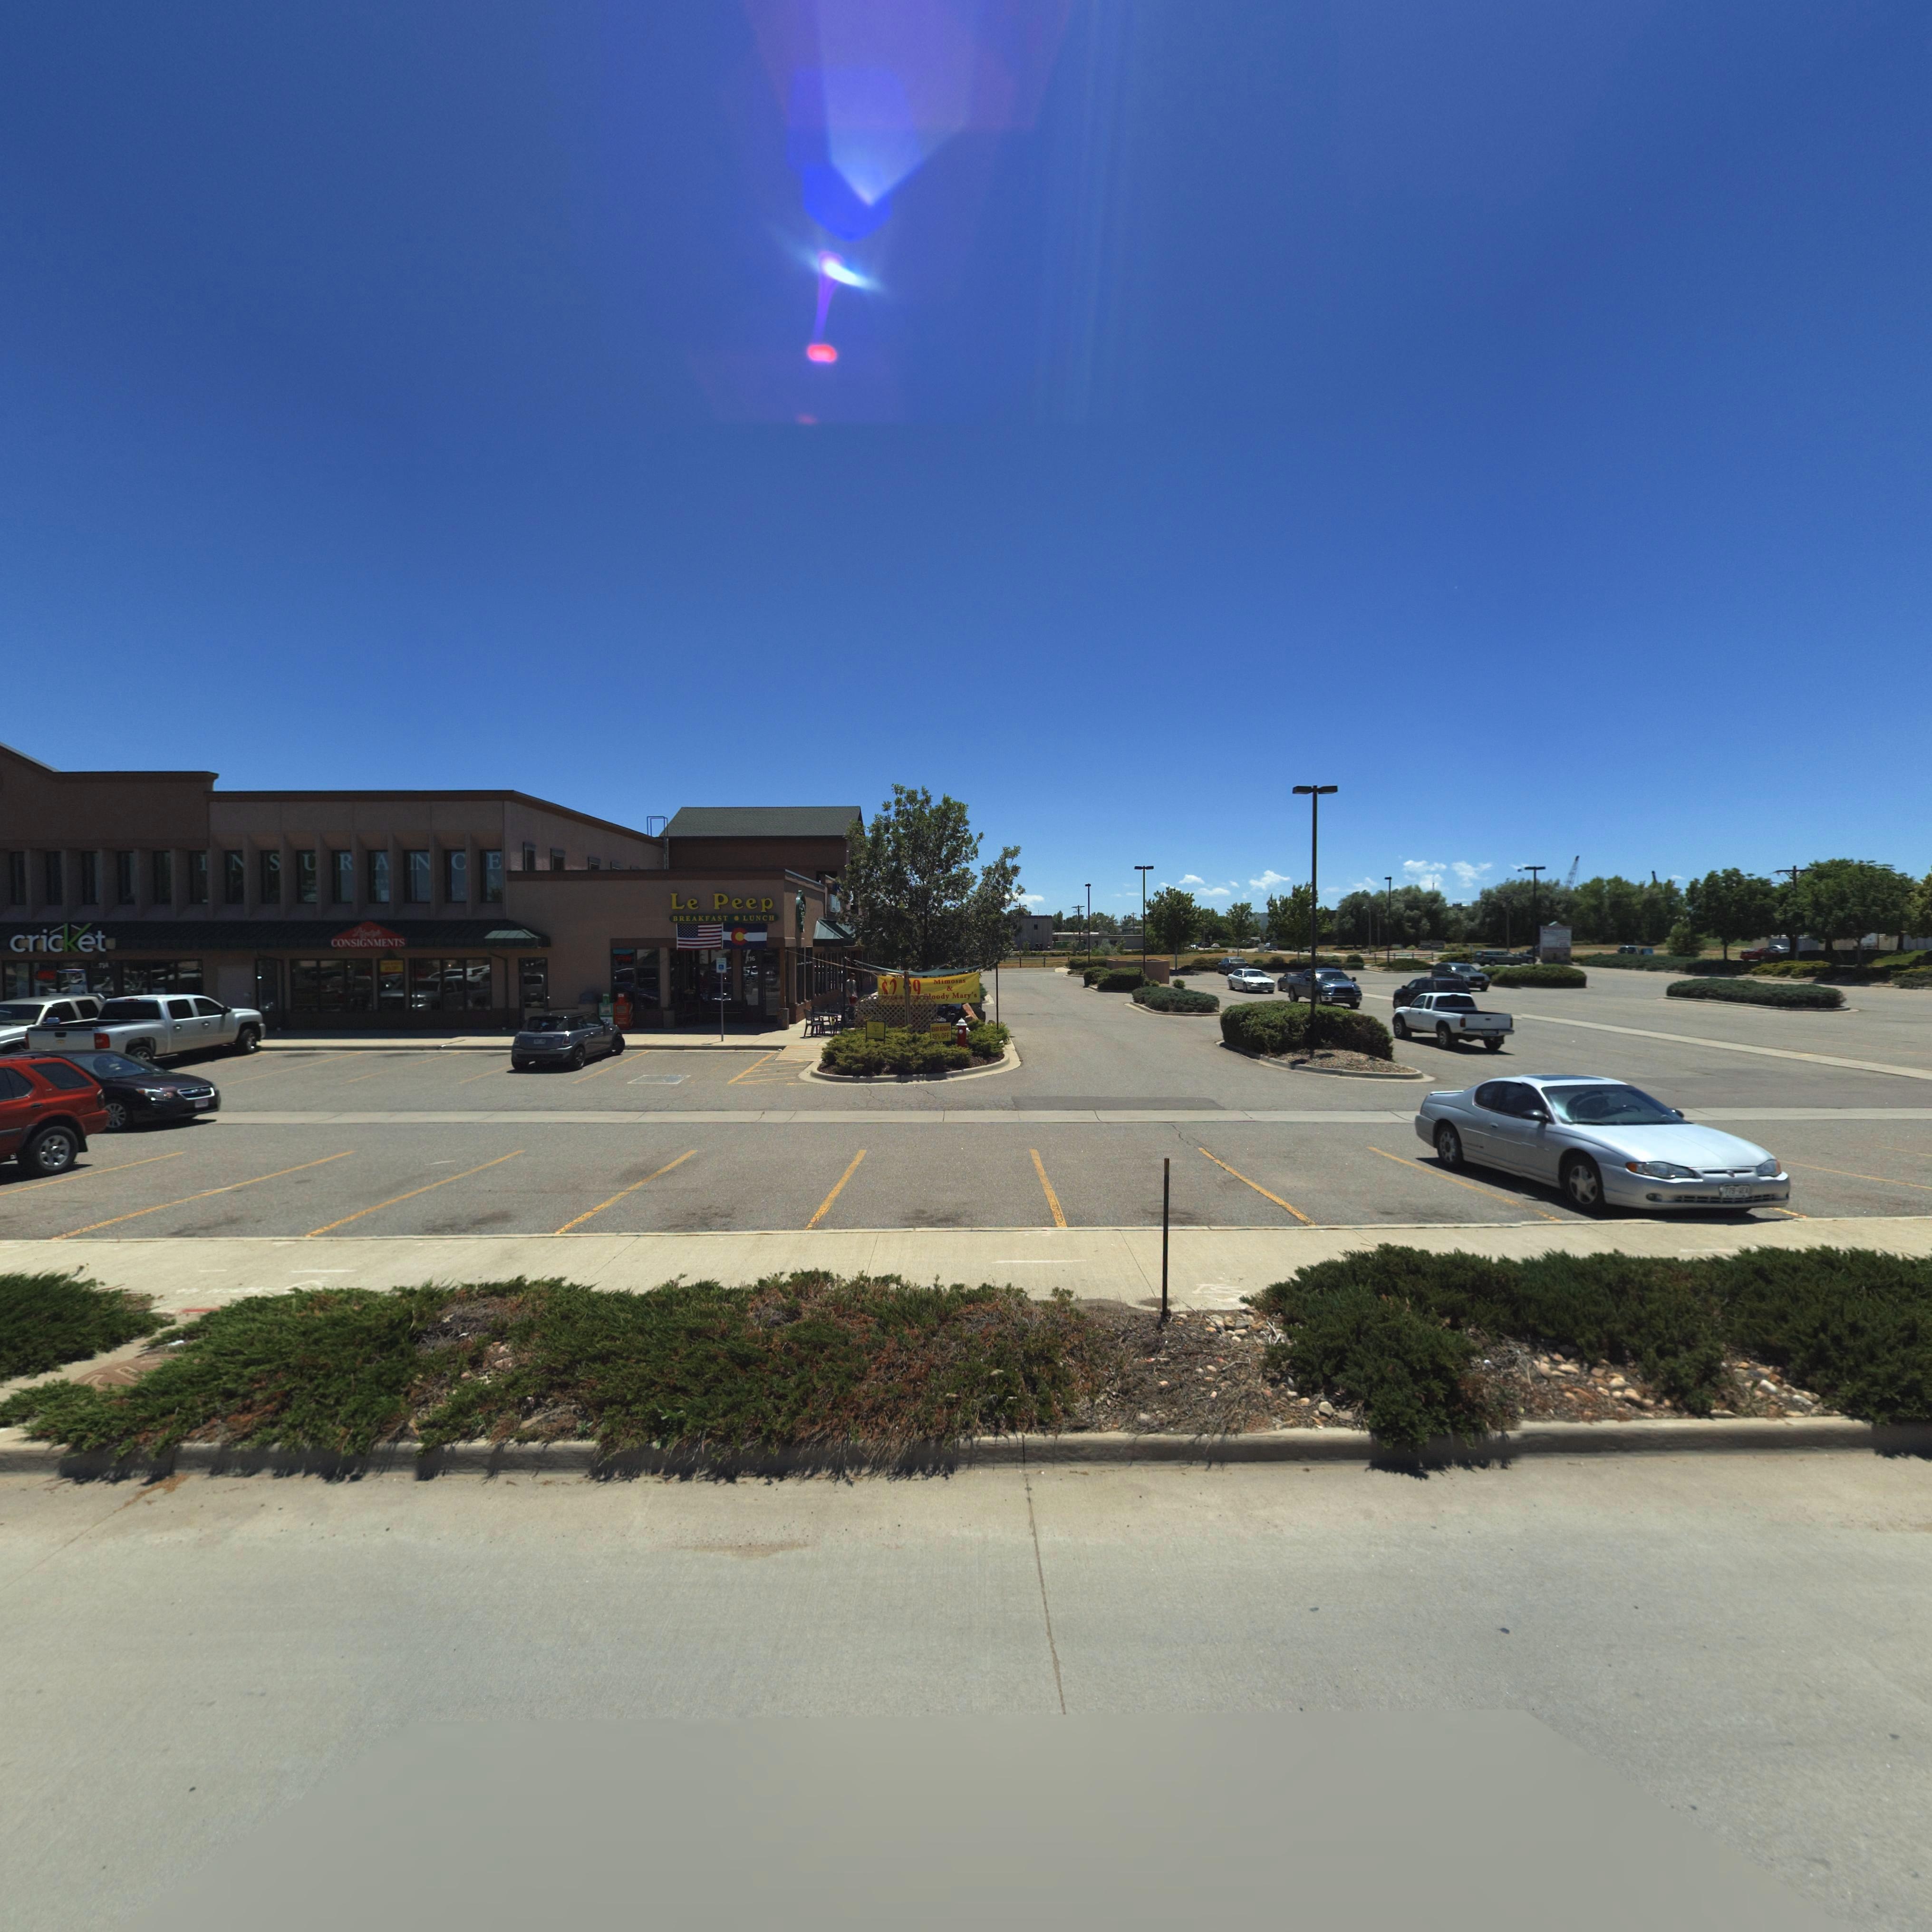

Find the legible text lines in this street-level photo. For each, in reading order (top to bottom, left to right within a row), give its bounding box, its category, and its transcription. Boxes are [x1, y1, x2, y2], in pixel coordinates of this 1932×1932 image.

[669, 892, 774, 912] BusinessName: Le Peep
[9, 927, 106, 953] BusinessName: cricket
[330, 937, 406, 948] BusinessName: CONSIGNMENTS